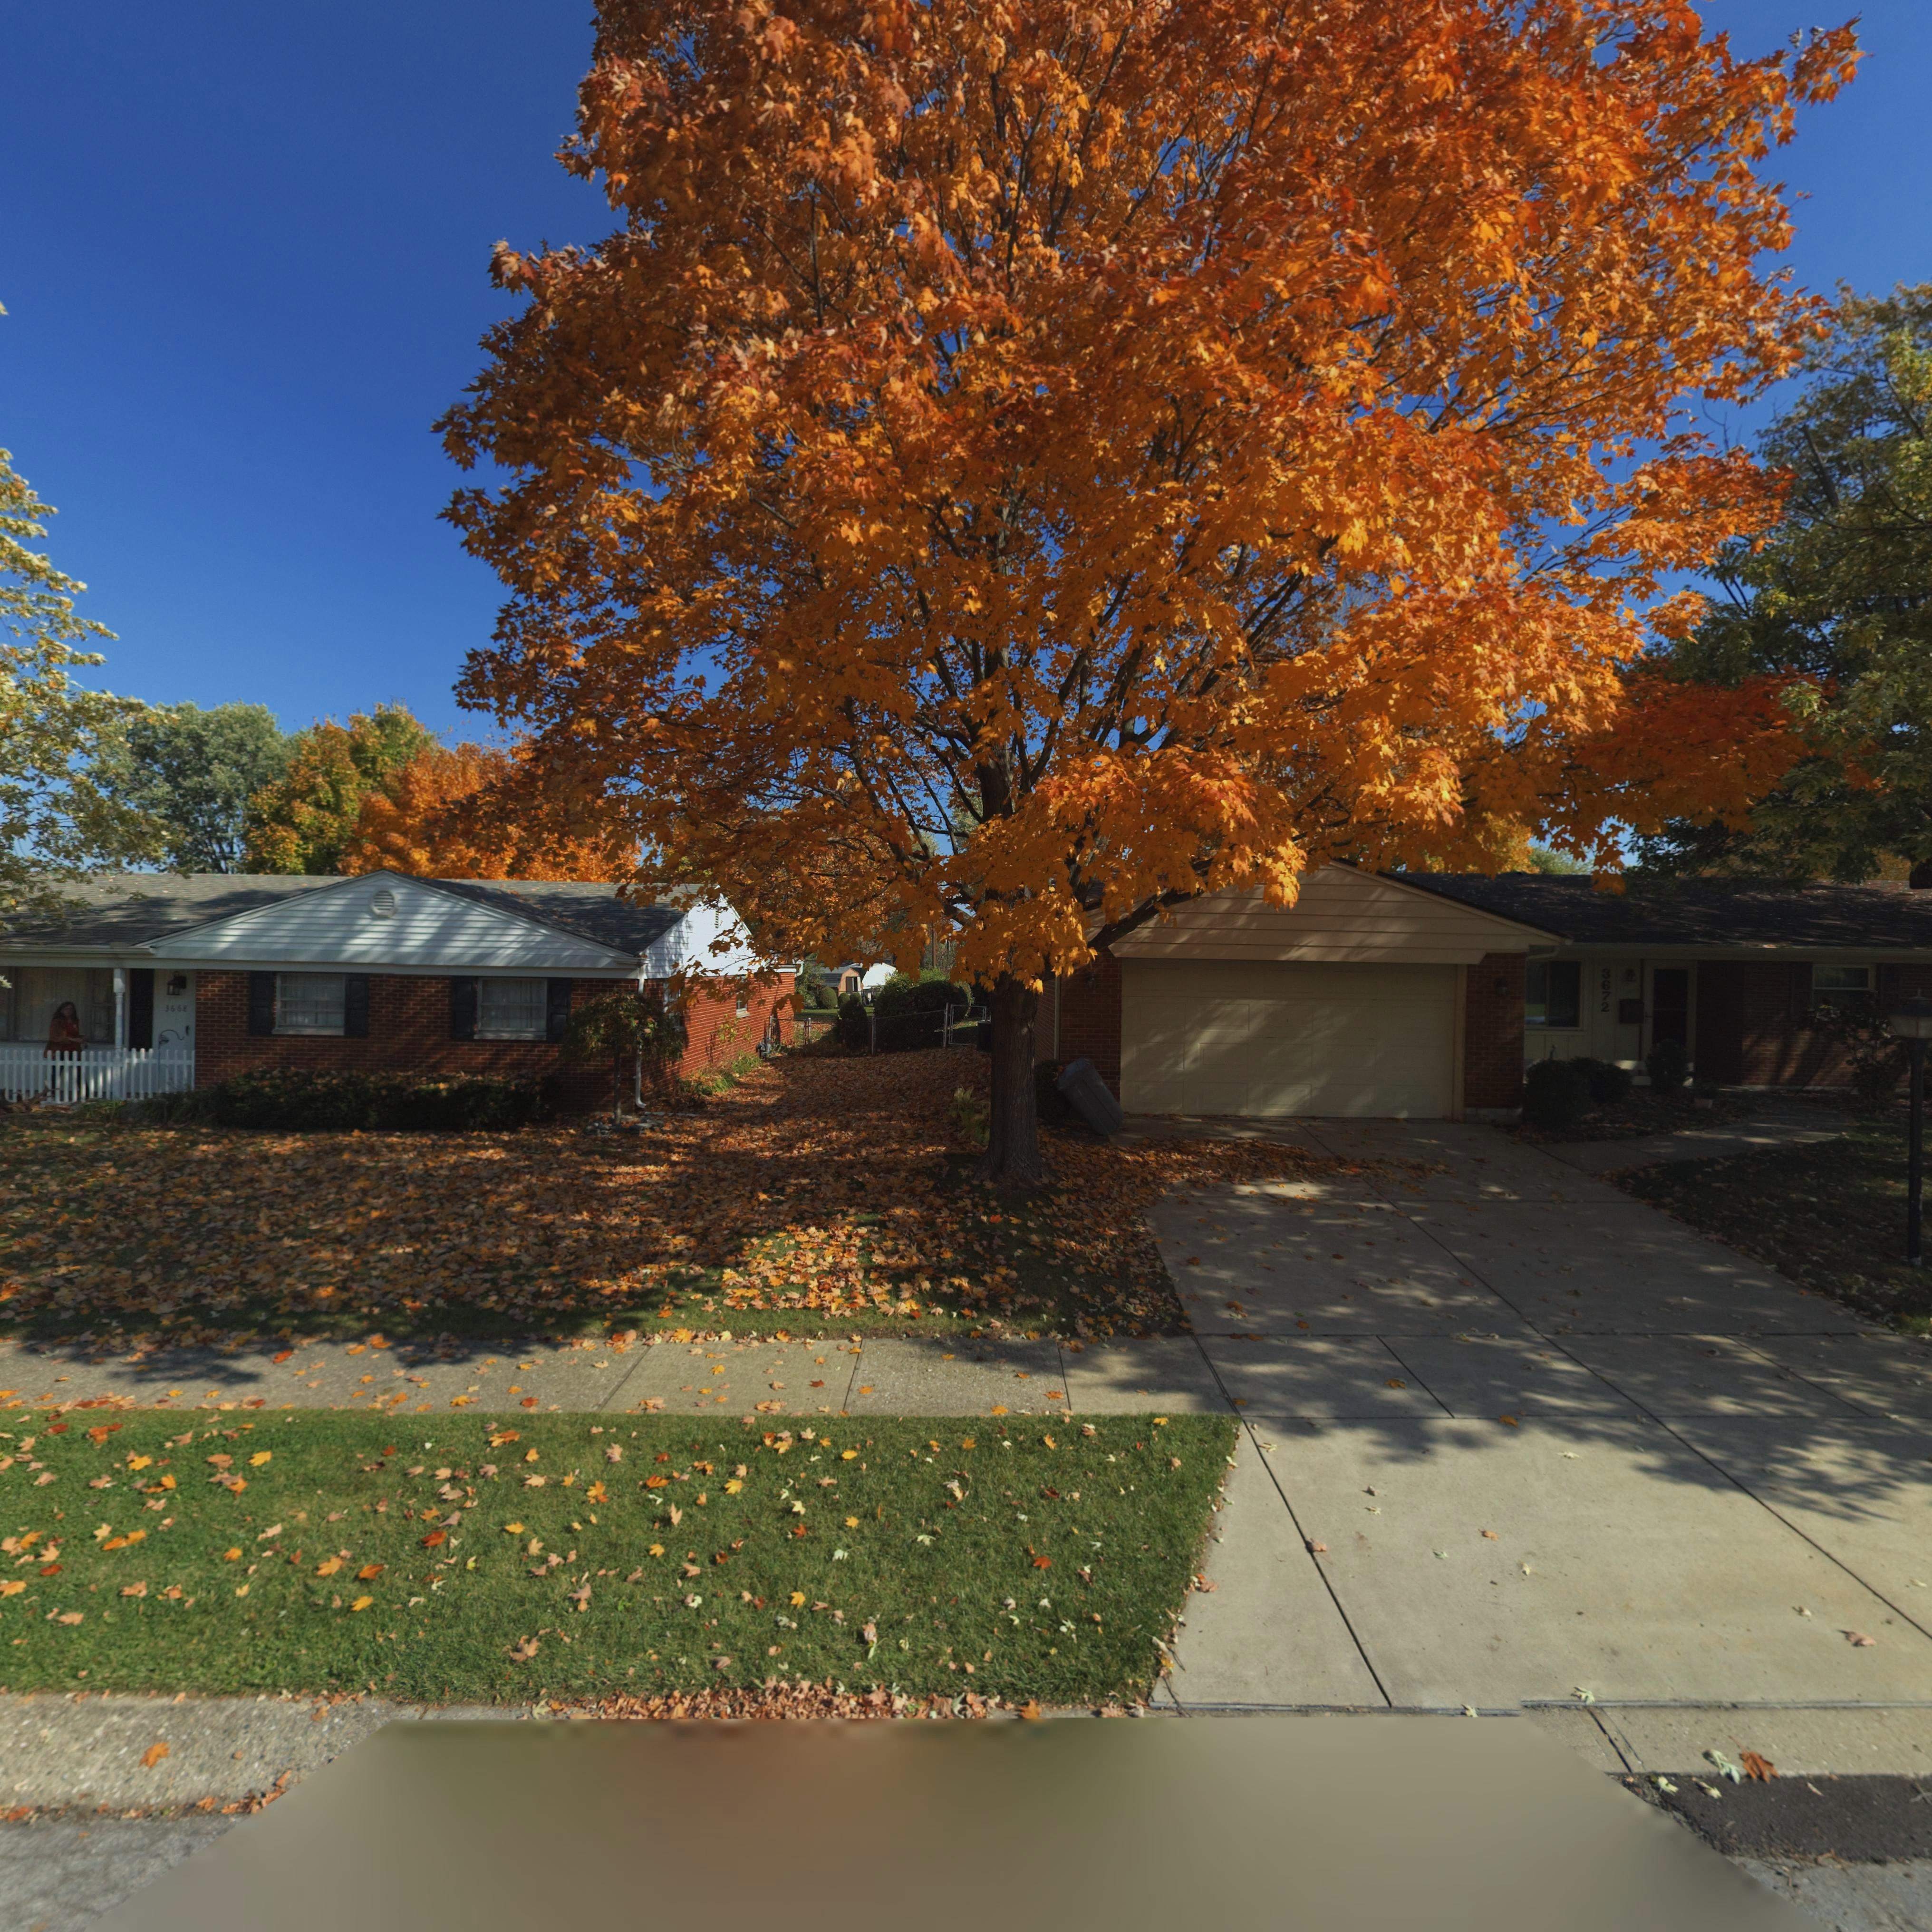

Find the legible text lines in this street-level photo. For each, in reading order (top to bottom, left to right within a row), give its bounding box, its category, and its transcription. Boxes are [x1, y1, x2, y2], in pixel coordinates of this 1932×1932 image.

[164, 1004, 188, 1013] StreetNumber: 3668
[1600, 967, 1611, 1013] StreetNumber: 3672